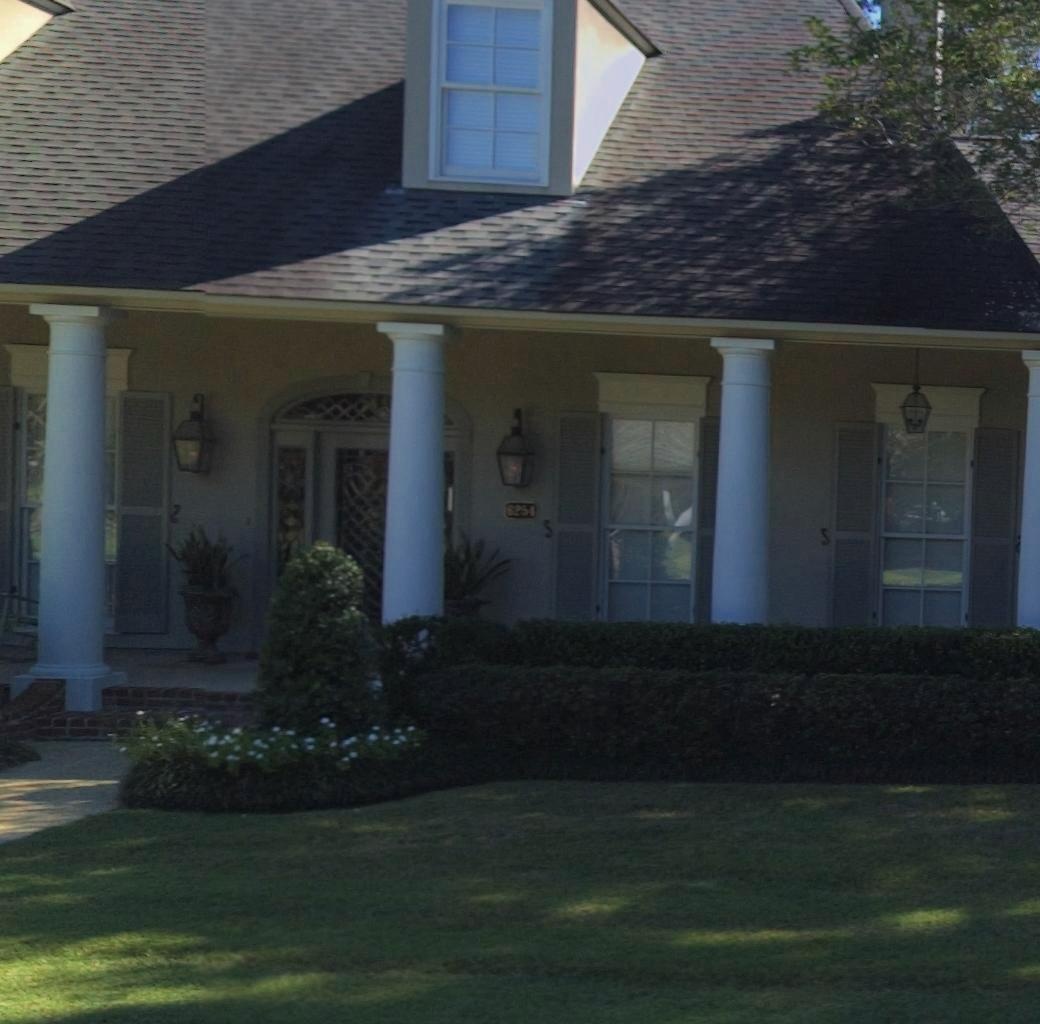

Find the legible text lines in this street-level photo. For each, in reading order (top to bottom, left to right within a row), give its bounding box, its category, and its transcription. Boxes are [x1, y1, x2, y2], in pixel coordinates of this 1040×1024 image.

[505, 502, 536, 518] StreetNumber: 6254